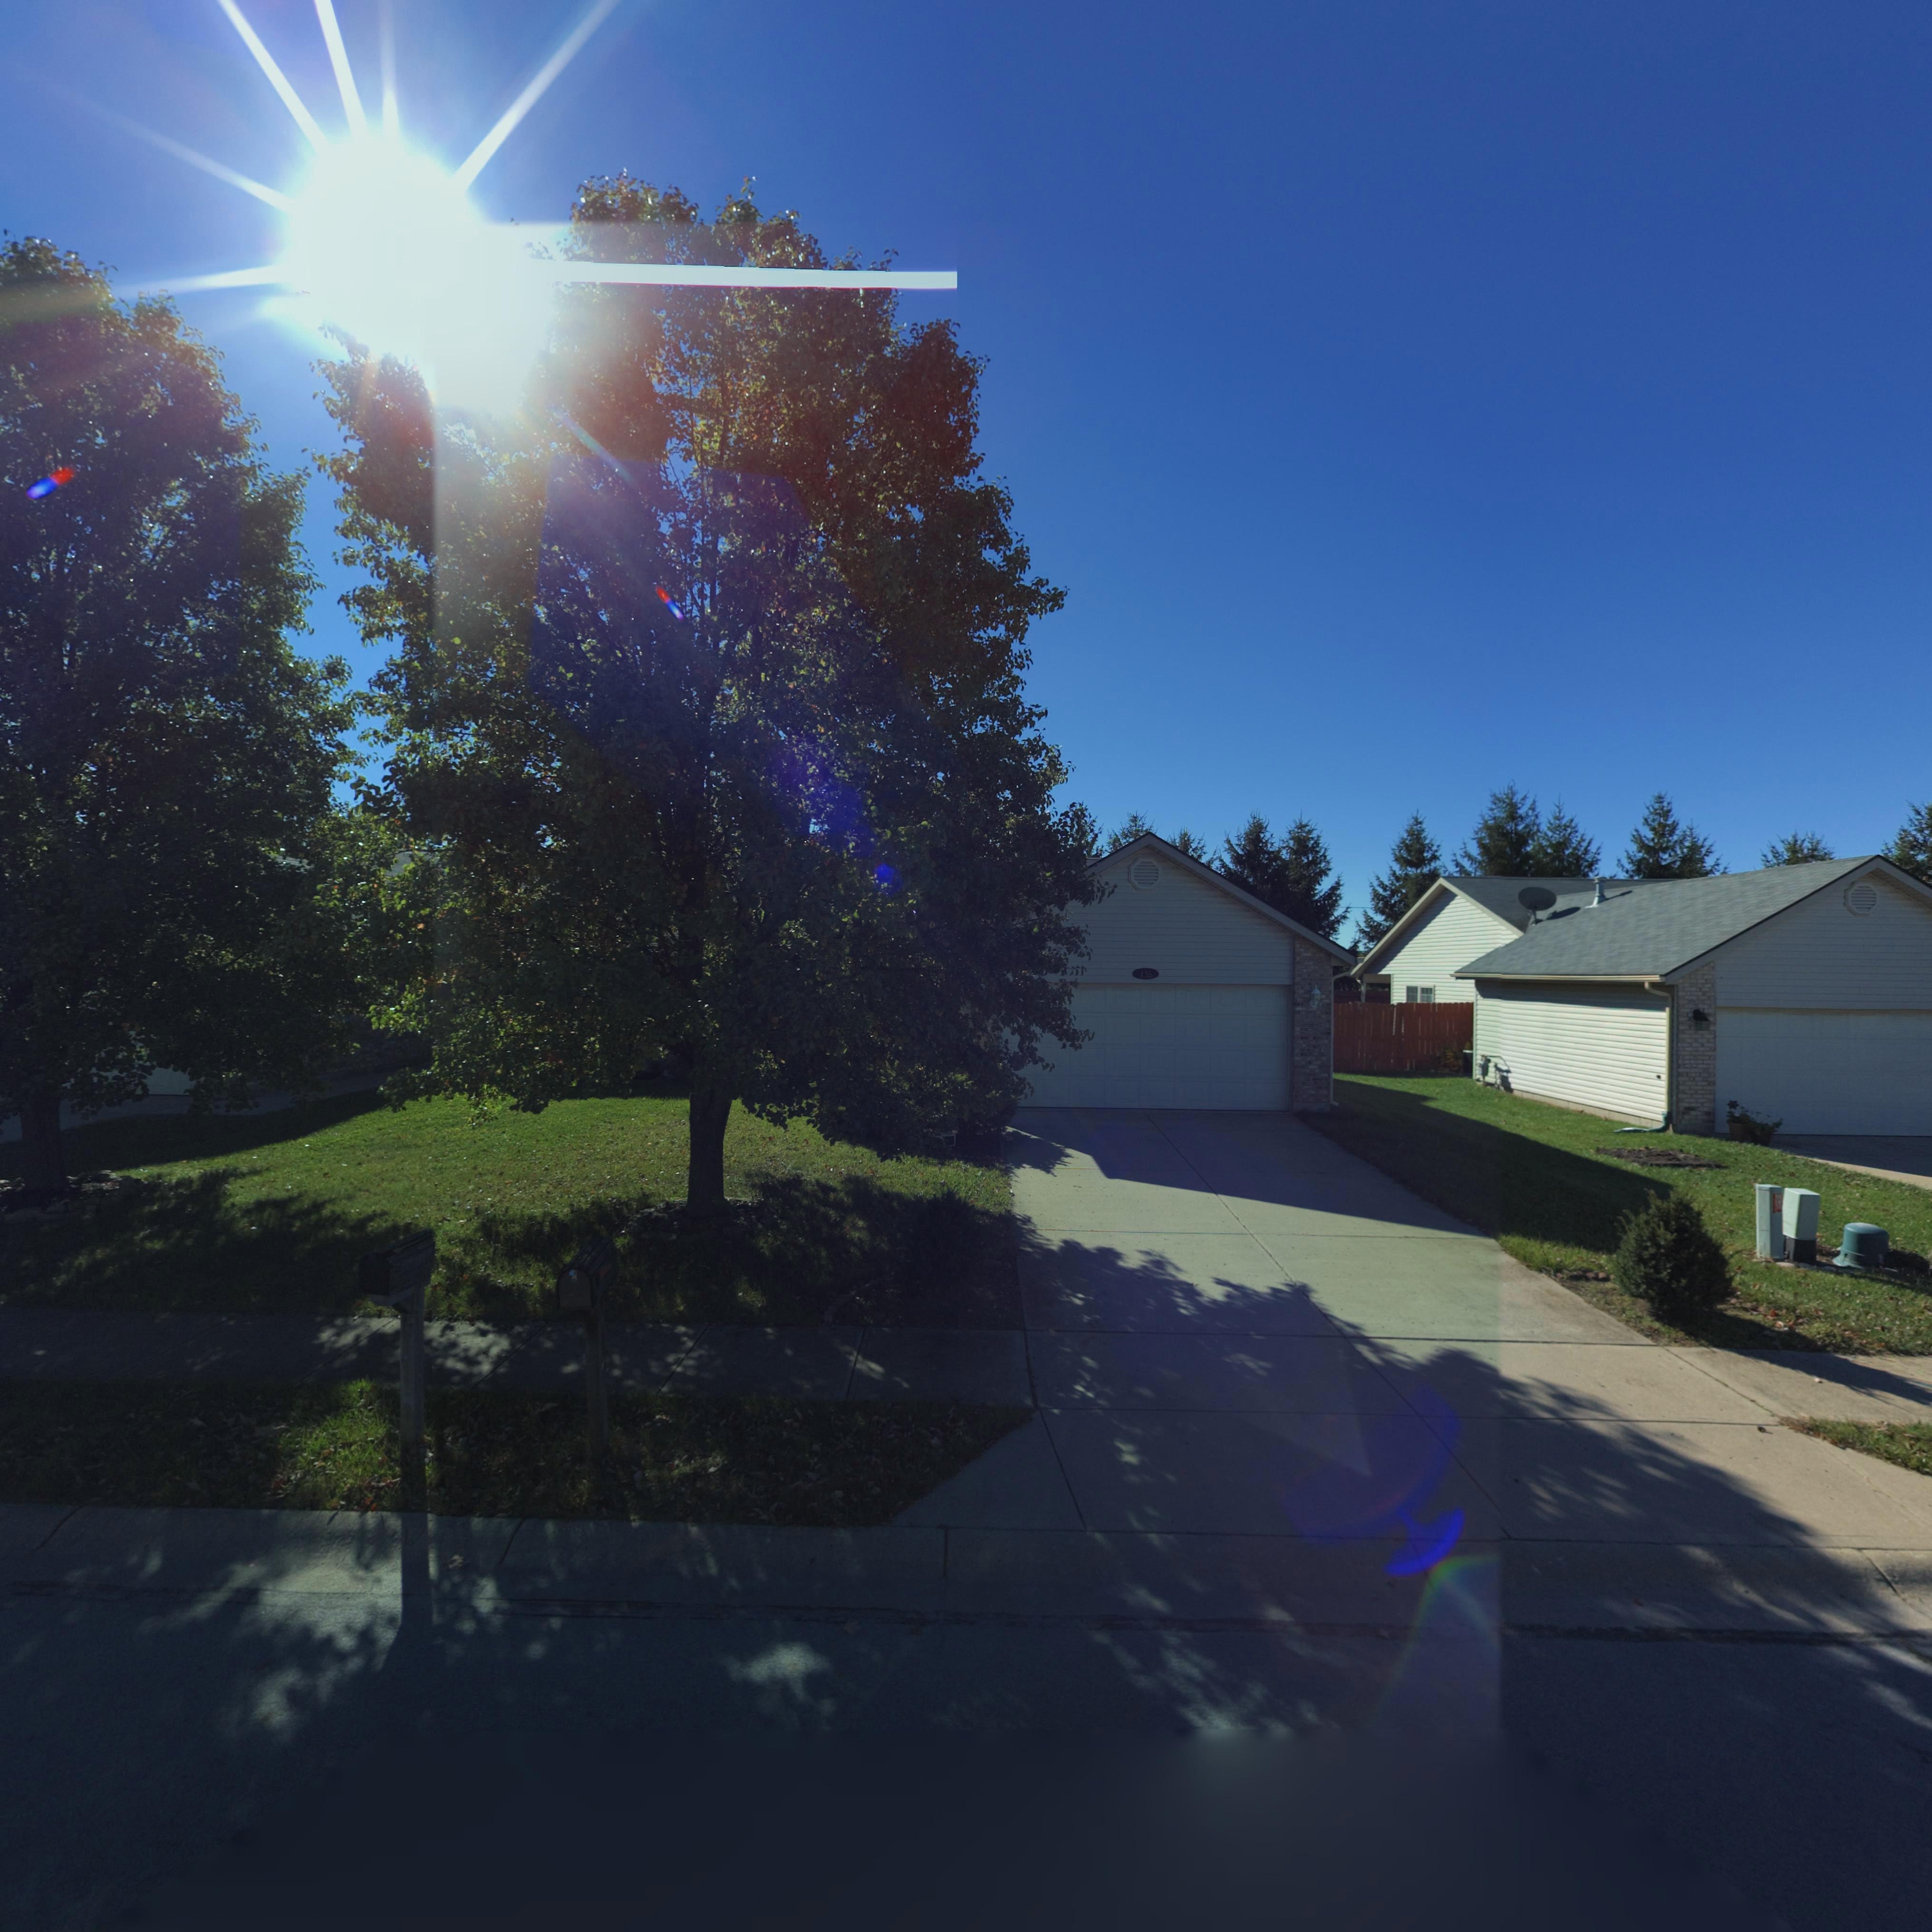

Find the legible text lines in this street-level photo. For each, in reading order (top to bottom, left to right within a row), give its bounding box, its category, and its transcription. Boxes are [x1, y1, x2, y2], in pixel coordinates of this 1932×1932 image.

[1140, 970, 1152, 978] StreetNumber: 136